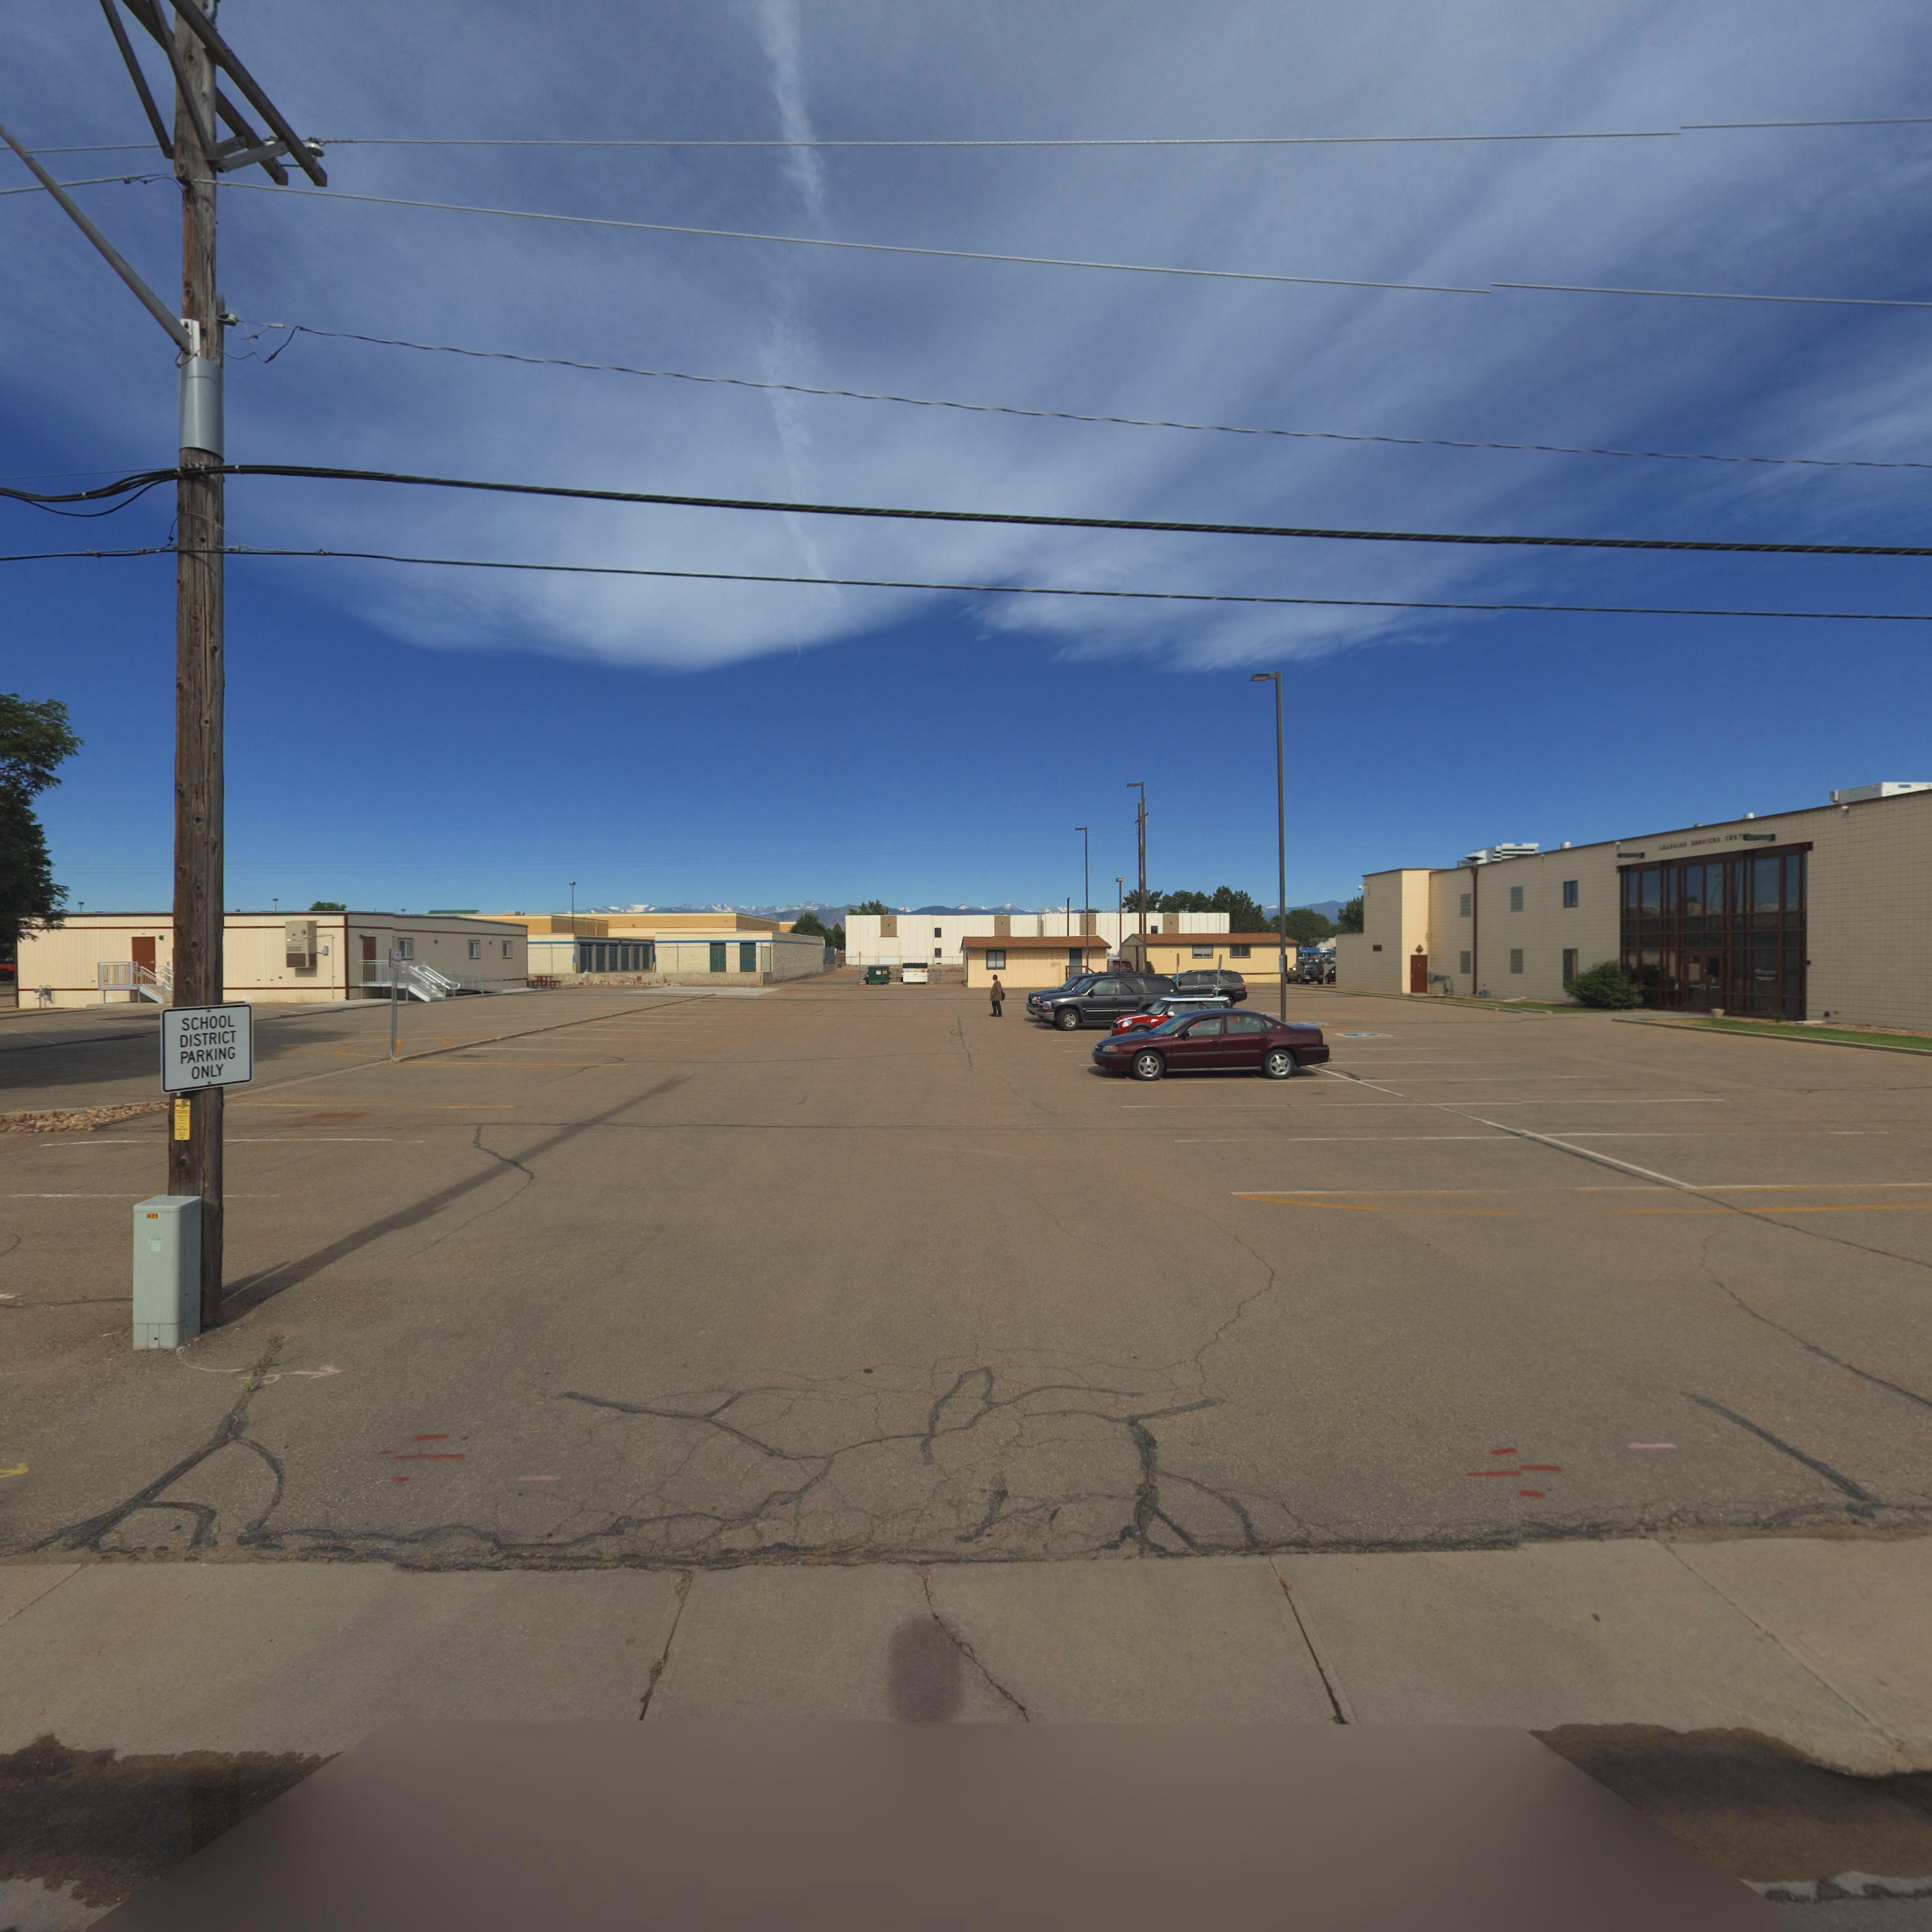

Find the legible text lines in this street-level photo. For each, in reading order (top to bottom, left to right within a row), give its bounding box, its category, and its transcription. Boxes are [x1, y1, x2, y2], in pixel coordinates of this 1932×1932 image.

[1659, 833, 1742, 851] BusinessName: LE****** *****C*S C**T